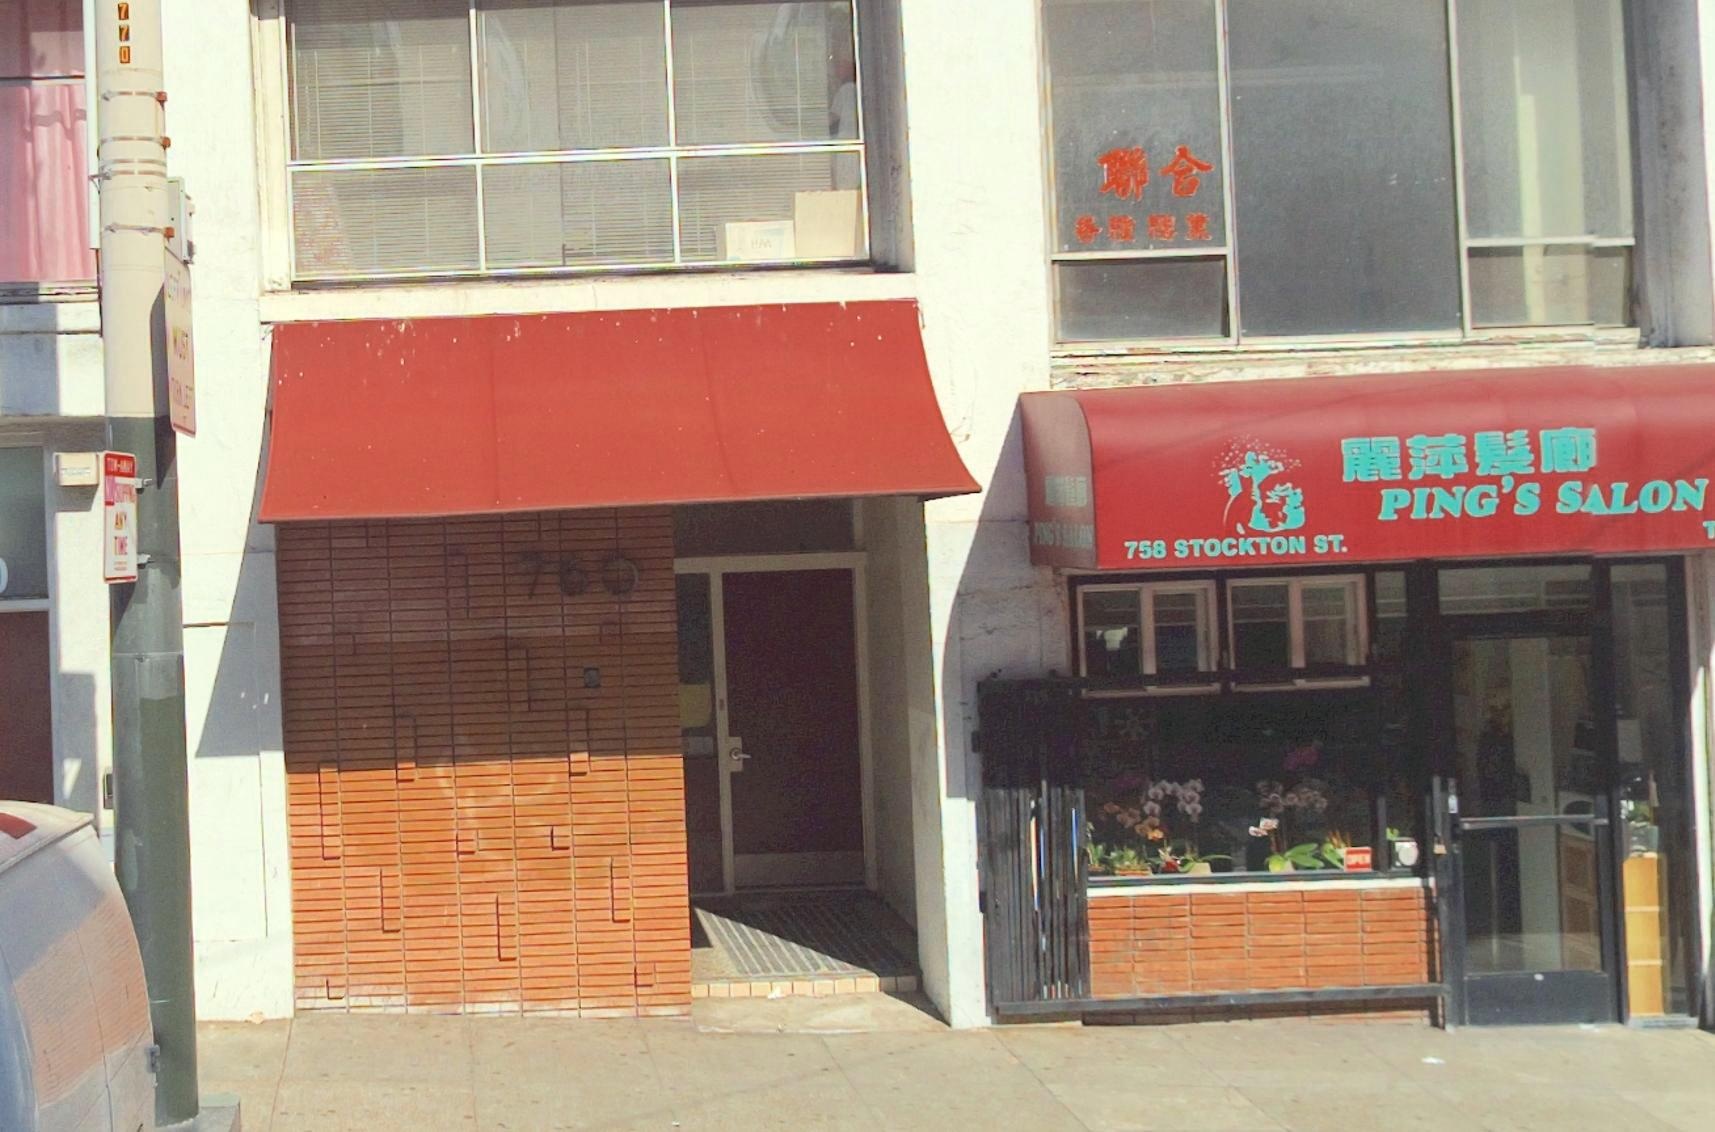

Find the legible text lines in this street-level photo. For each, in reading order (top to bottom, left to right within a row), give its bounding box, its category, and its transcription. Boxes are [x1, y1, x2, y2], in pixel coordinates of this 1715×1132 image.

[116, 1, 131, 64] None: 770
[170, 321, 192, 367] None: MUST
[105, 454, 136, 475] None: TOW-AWAY
[1375, 472, 1711, 522] BusinessName: PING'S SALON
[113, 509, 129, 532] None: ANY
[112, 535, 130, 556] None: TIME
[1031, 519, 1096, 553] BusinessName: PING'S SALON
[1122, 538, 1169, 562] StreetNumber: 758
[1173, 533, 1349, 560] StreetName: STOCKTON ST.
[517, 552, 643, 604] StreetNumber: 760